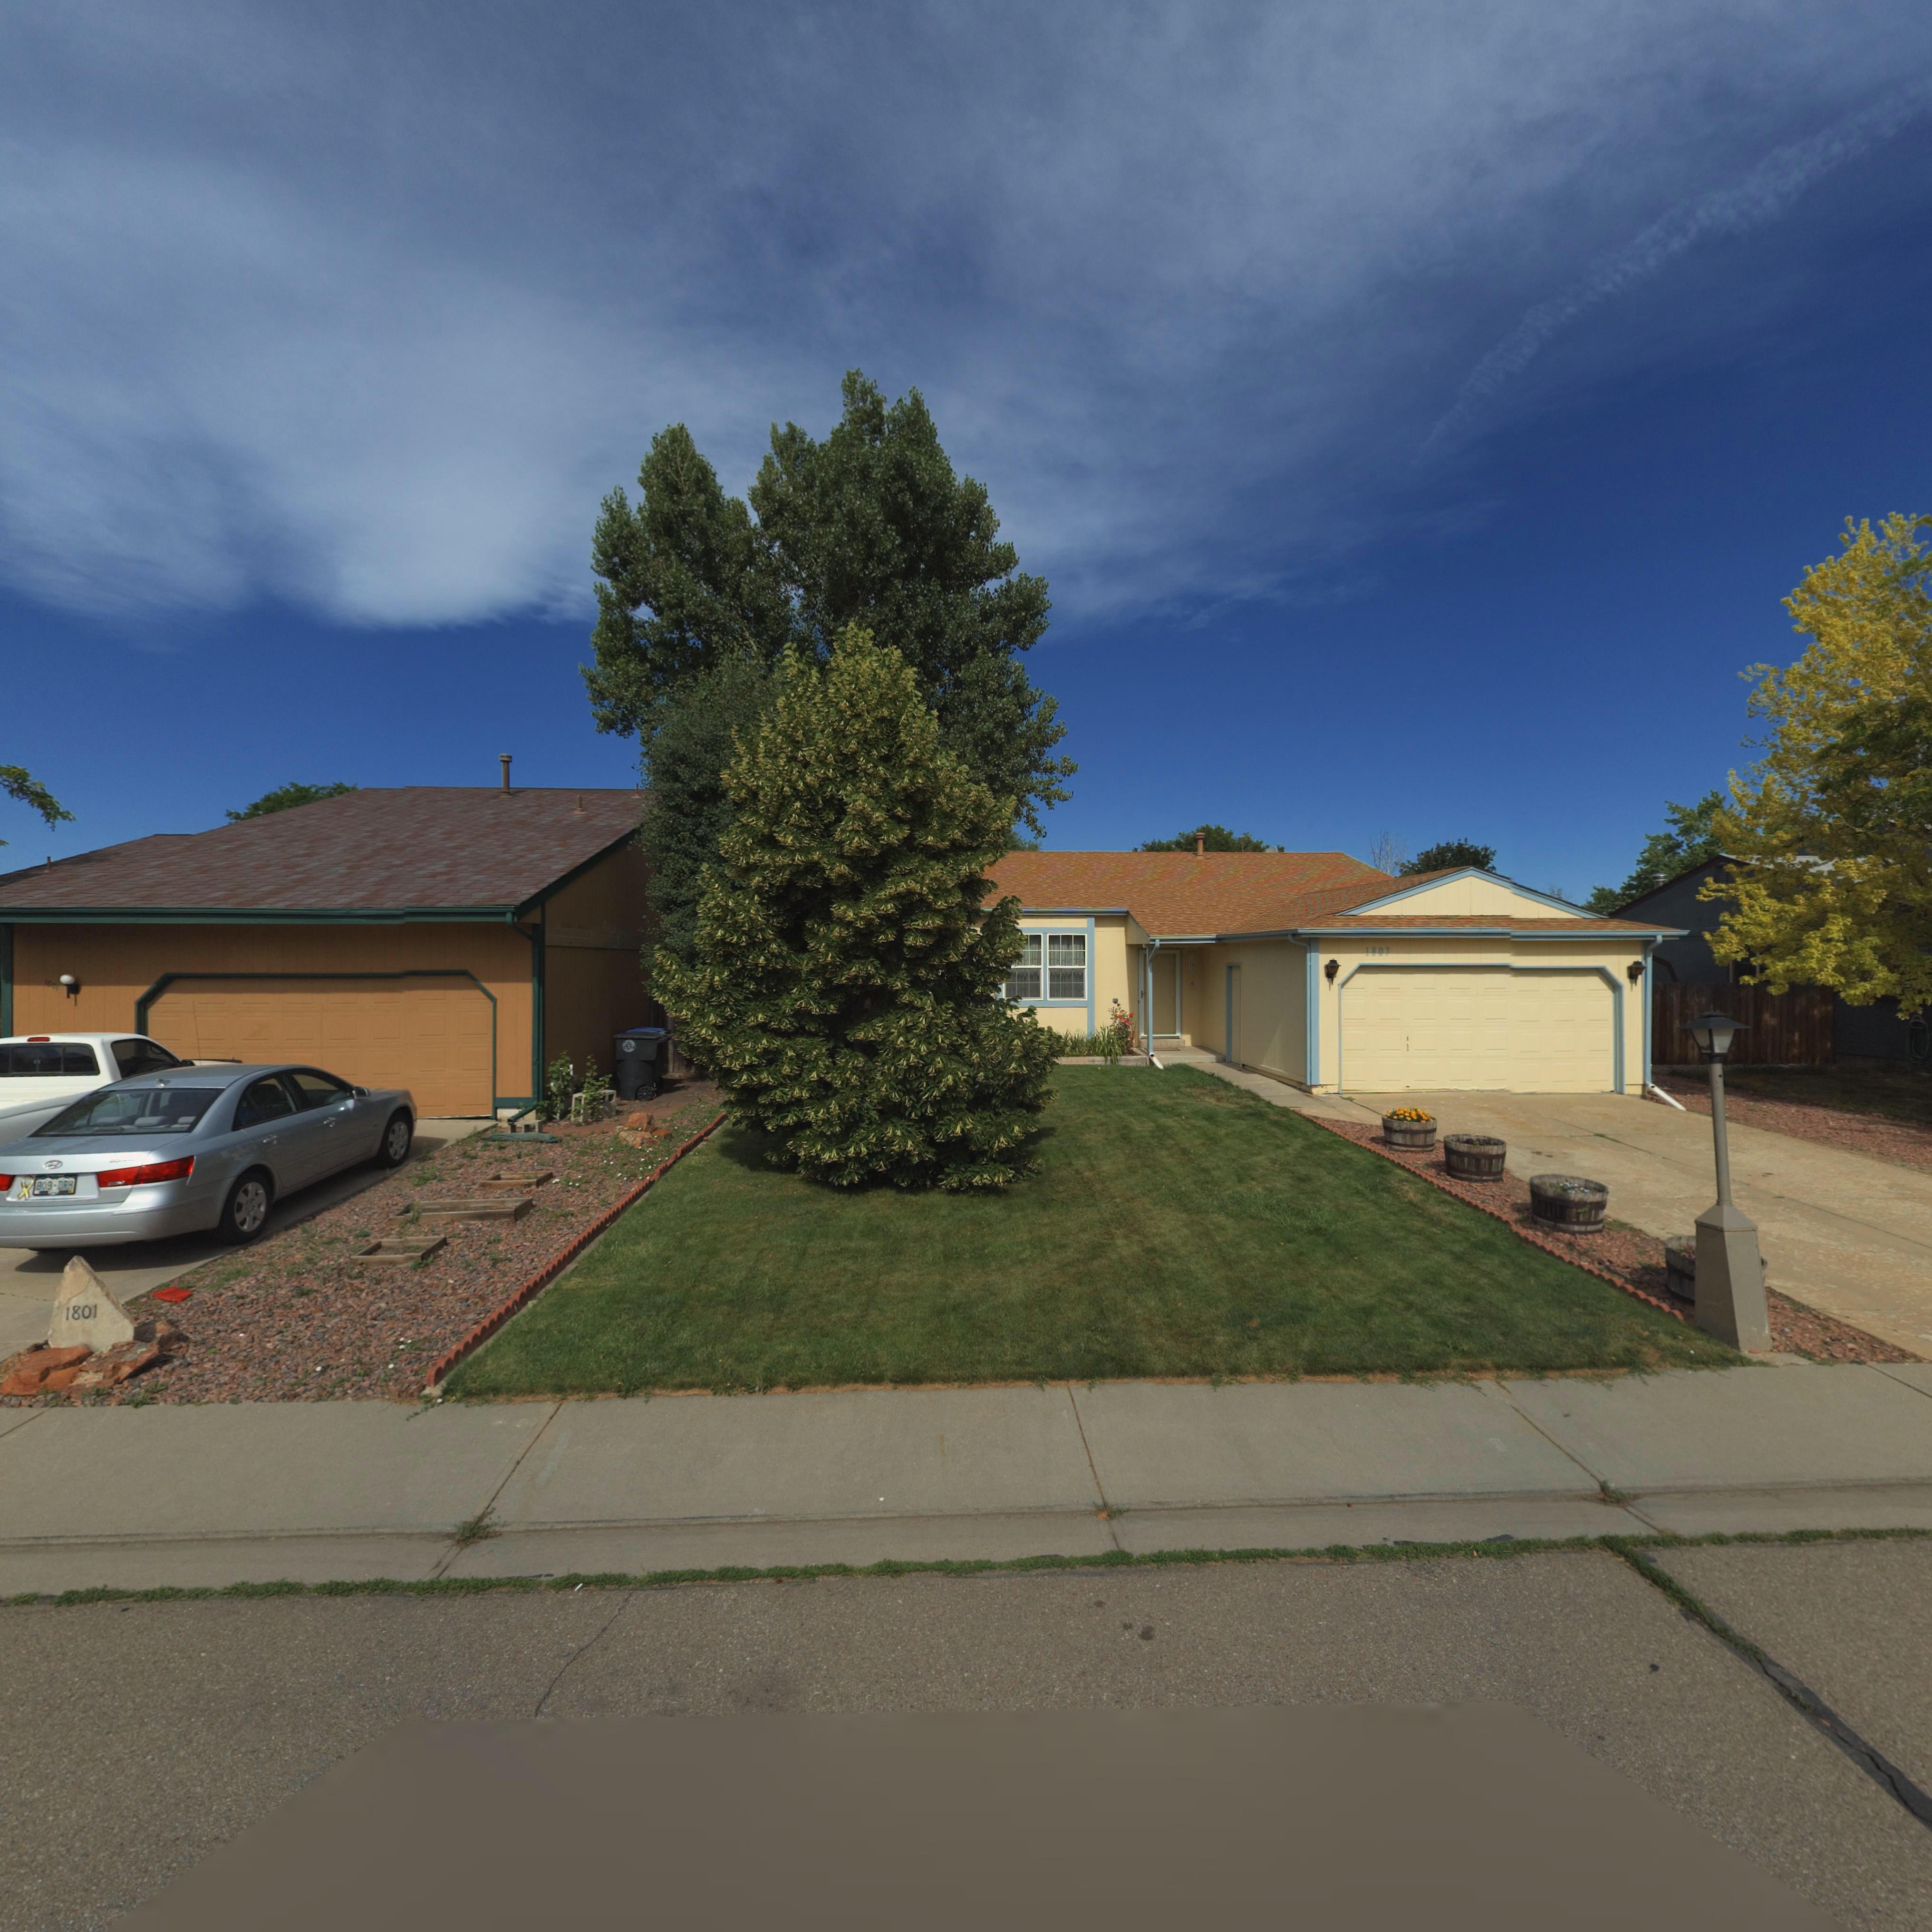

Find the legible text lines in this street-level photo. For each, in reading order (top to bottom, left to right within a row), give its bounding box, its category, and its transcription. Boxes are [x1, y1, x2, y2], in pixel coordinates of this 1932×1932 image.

[1365, 947, 1390, 956] StreetNumber: 1807
[45, 978, 59, 992] StreetNumber: 18**
[65, 1304, 97, 1321] StreetNumber: 1801